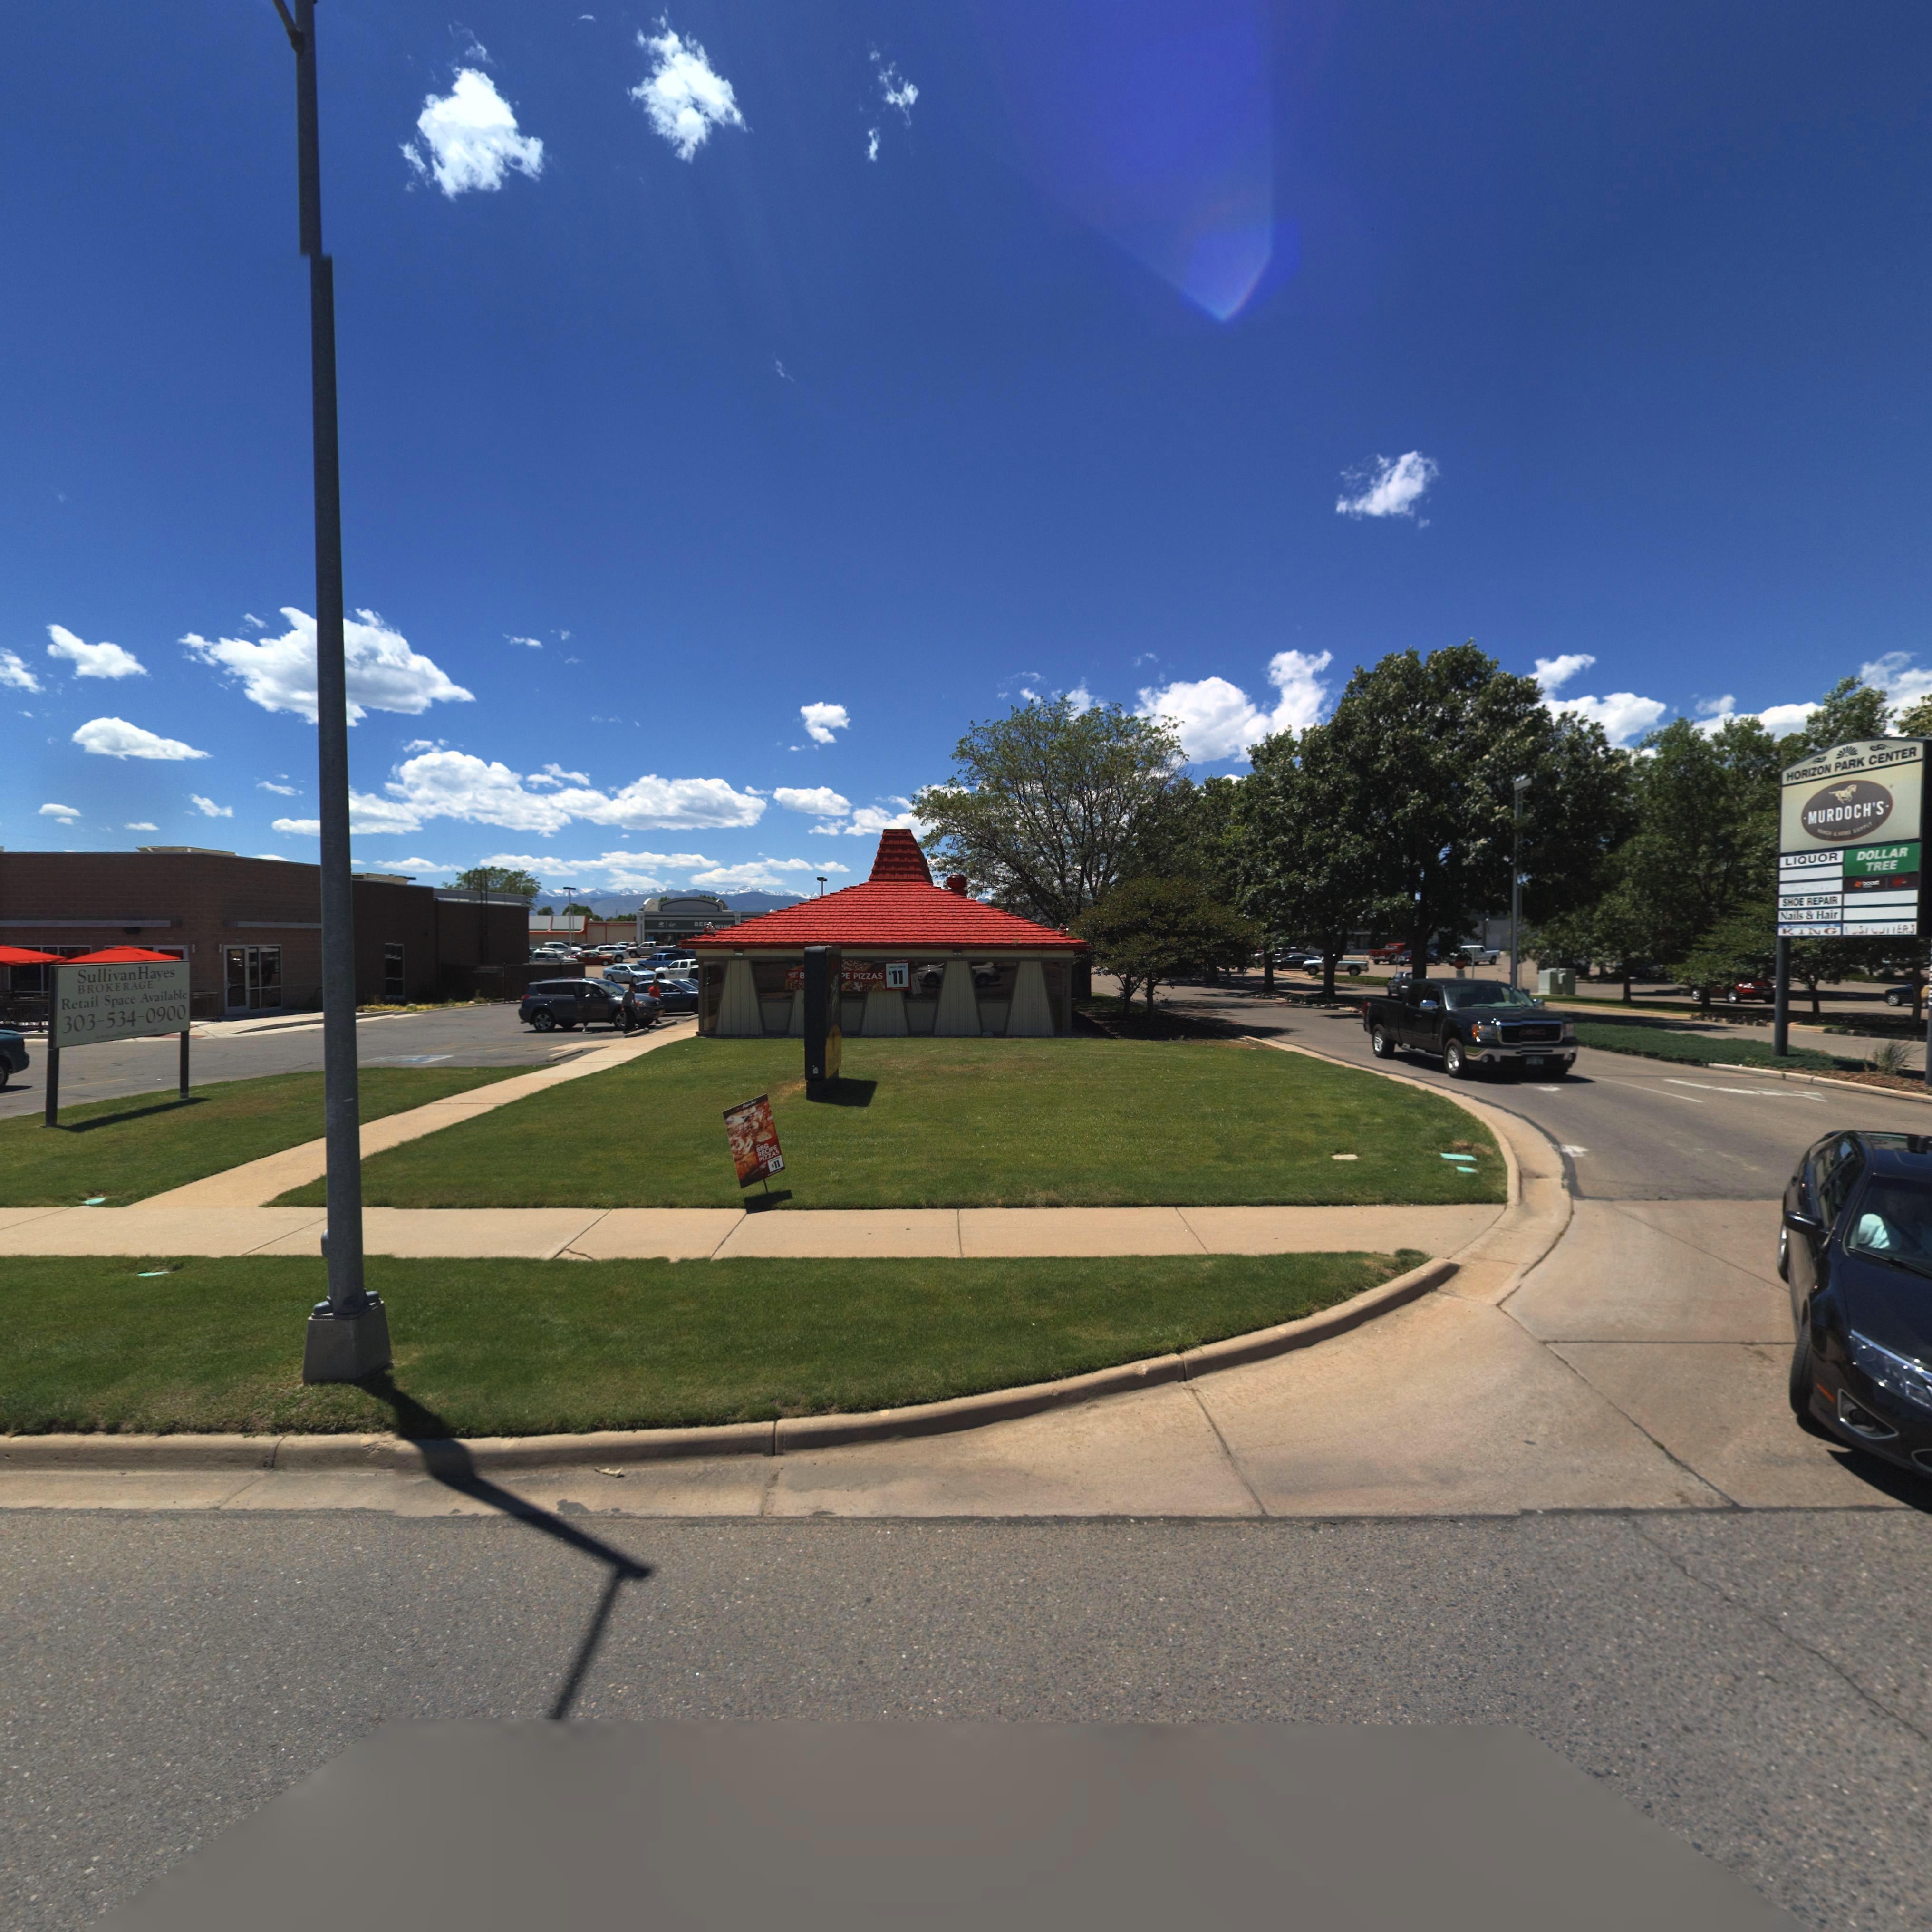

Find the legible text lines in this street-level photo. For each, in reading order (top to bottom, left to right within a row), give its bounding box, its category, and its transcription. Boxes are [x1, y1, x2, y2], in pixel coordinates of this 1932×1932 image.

[1807, 800, 1884, 824] BusinessName: MURDOCH'S
[1856, 847, 1908, 860] BusinessName: DOLLAR
[1865, 860, 1898, 871] BusinessName: TREE
[1862, 879, 1880, 886] BusinessName: *oo**
[1782, 927, 1837, 934] BusinessName: K**G